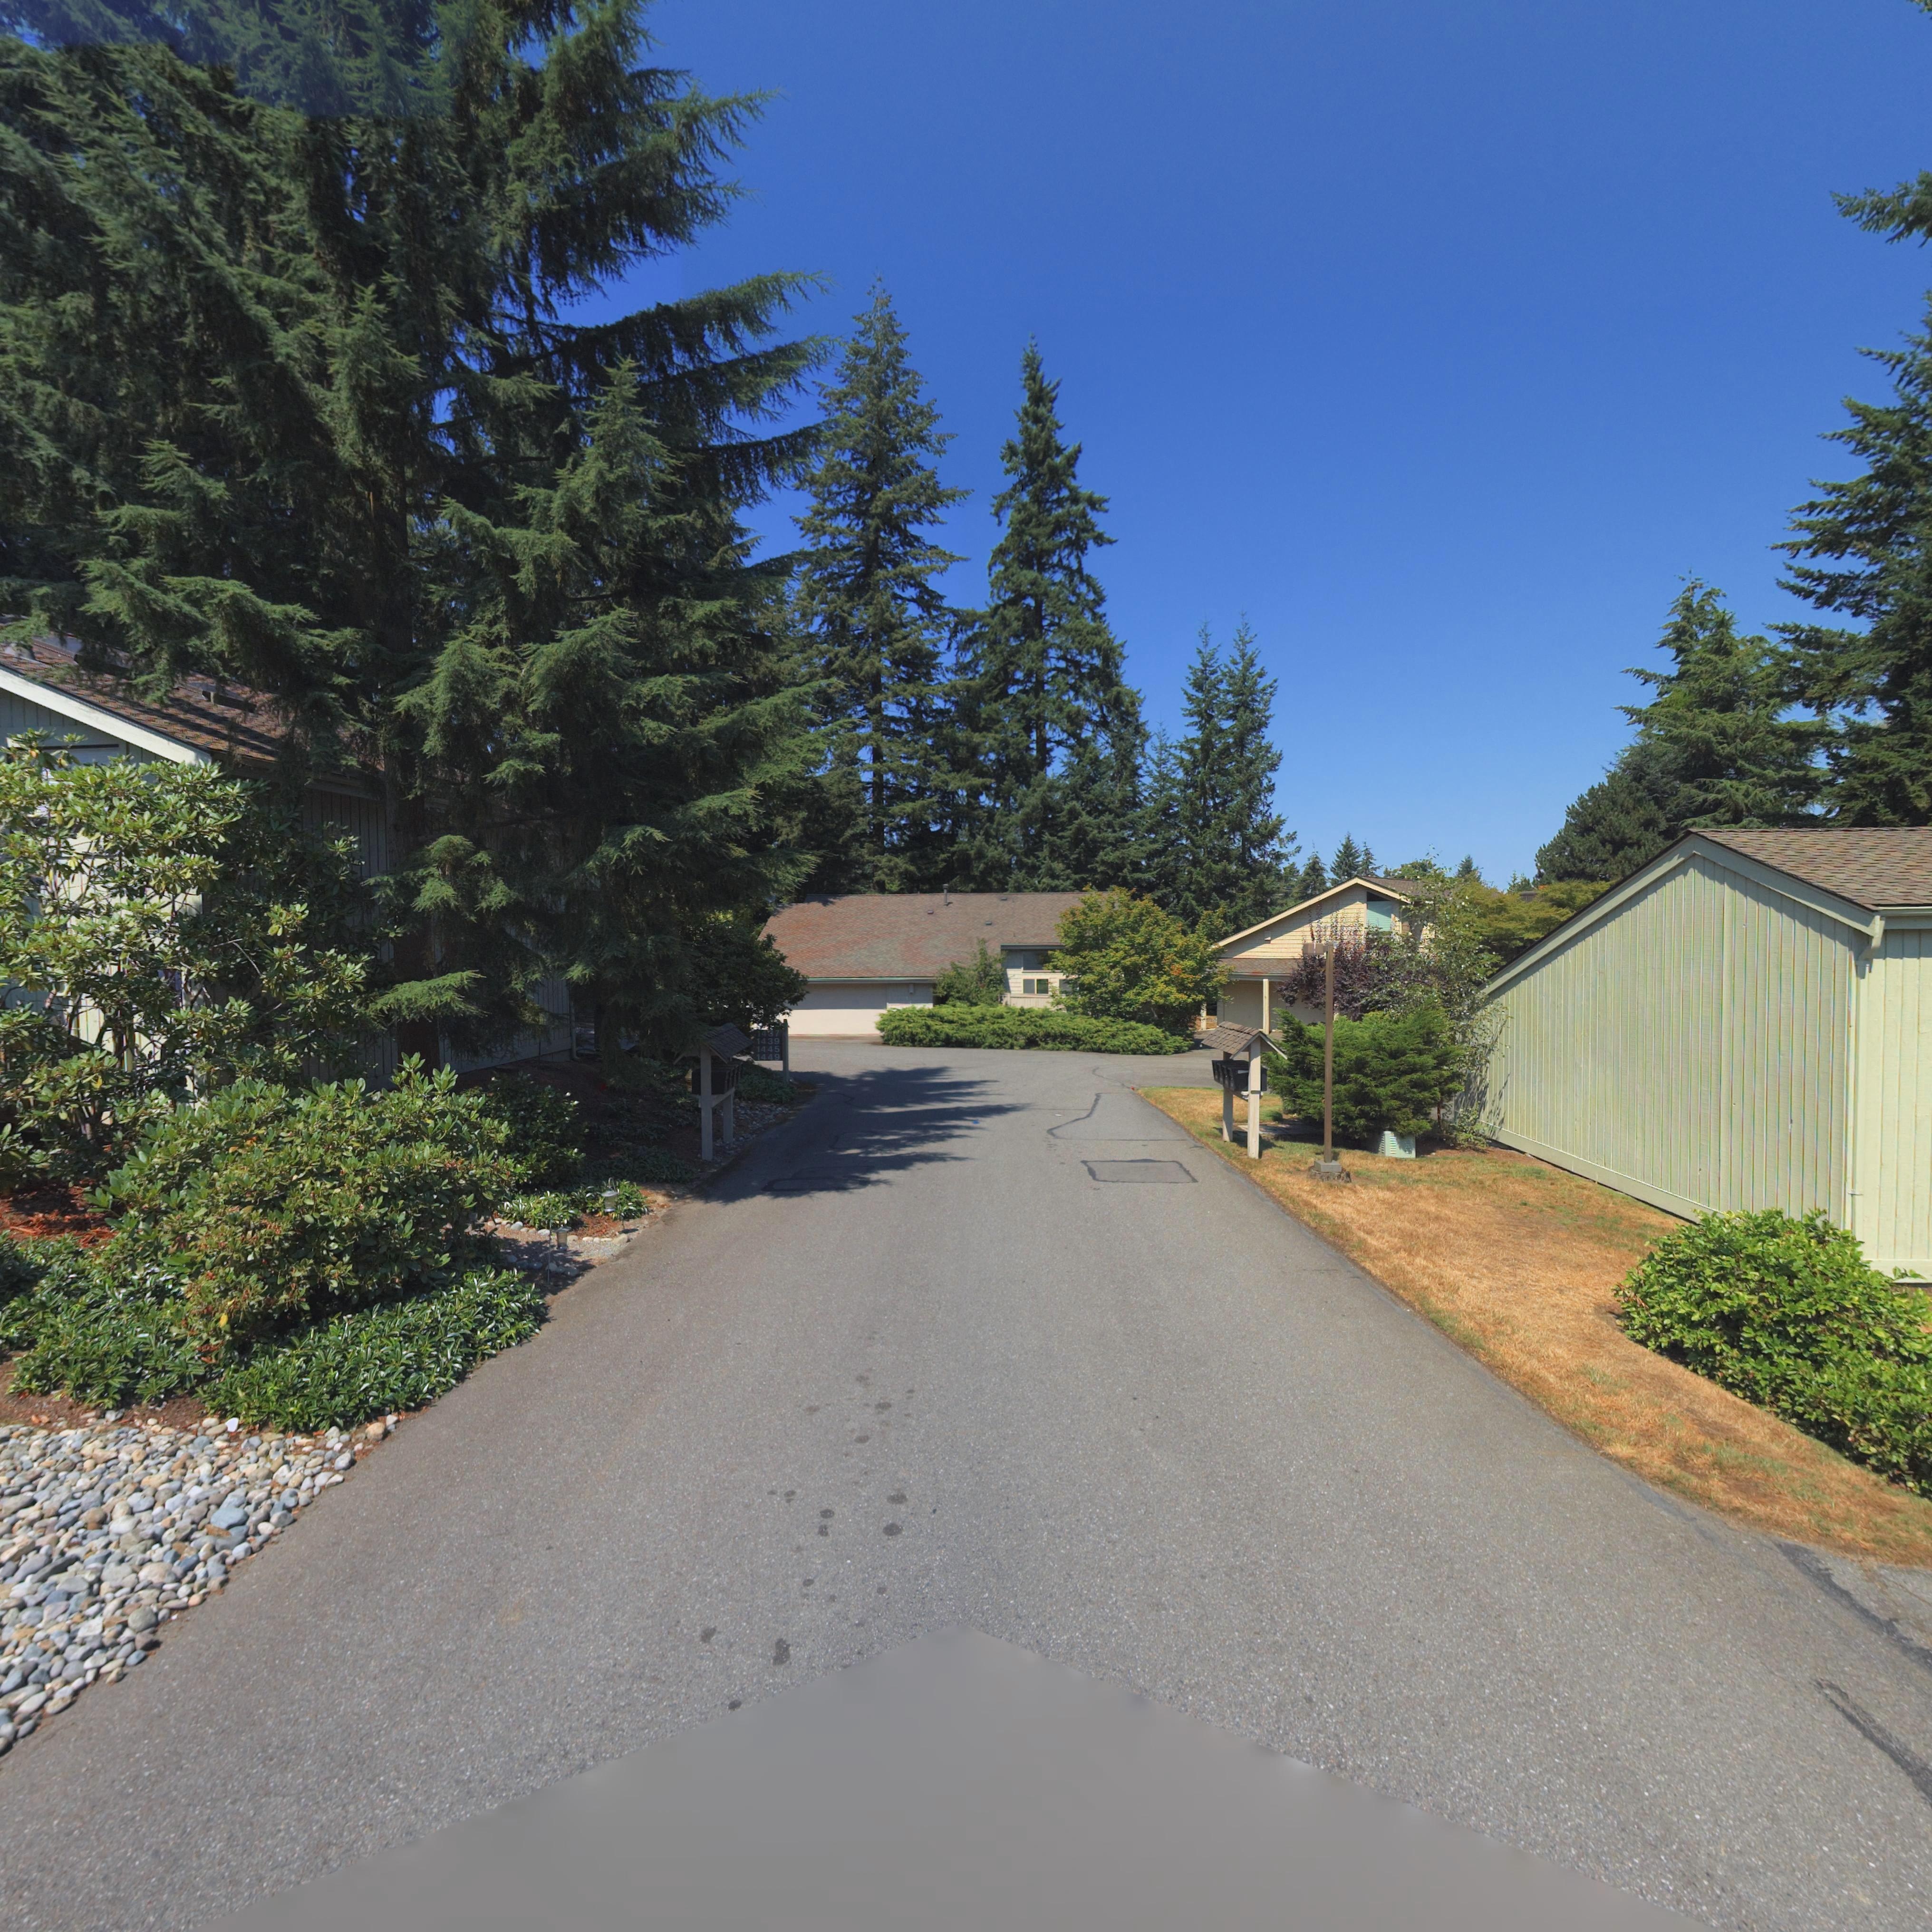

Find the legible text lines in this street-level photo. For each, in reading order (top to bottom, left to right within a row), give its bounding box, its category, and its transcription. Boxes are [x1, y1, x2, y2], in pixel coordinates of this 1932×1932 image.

[757, 1029, 780, 1037] StreetNumber: 1437
[756, 1038, 780, 1045] StreetNumber: 1439
[757, 1045, 780, 1053] StreetNumber: 1445
[757, 1053, 780, 1060] StreetNumber: 1449